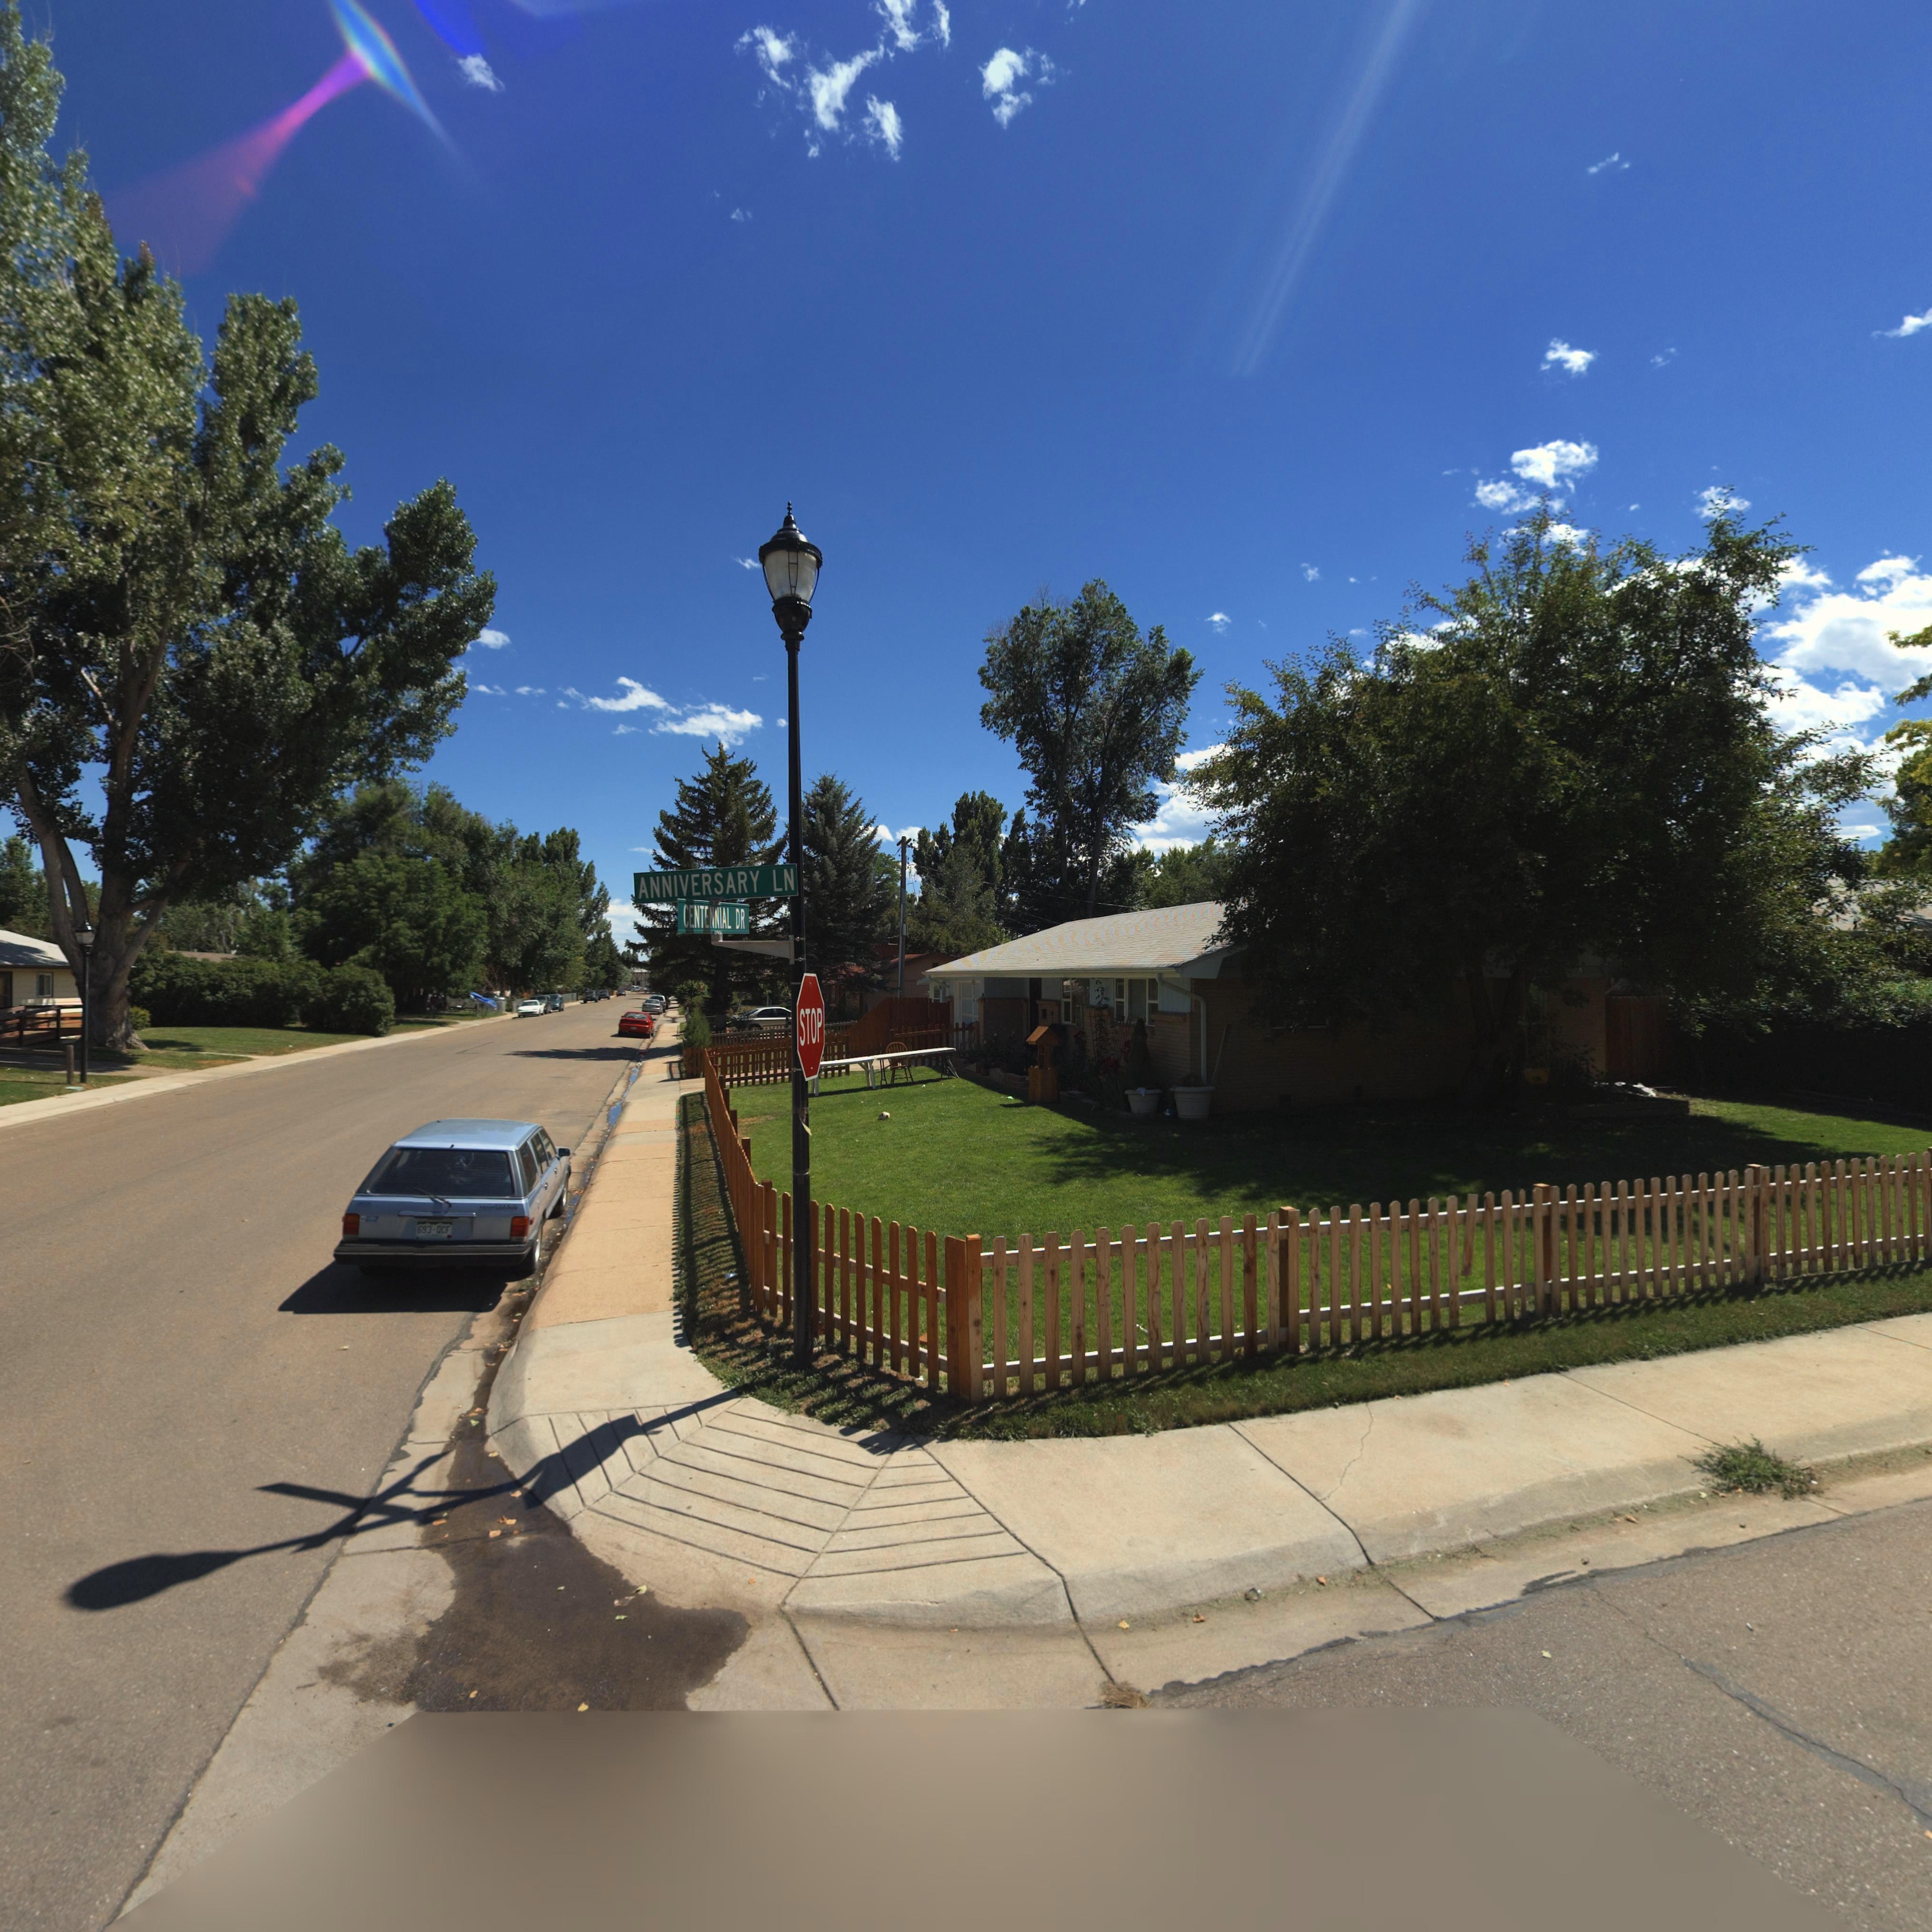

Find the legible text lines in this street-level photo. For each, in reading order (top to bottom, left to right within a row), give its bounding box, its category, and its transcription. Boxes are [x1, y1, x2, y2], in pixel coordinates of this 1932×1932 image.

[637, 867, 795, 900] StreetName: ANNIVERSARY LN
[682, 903, 746, 930] StreetName: CENTENNIAL DR